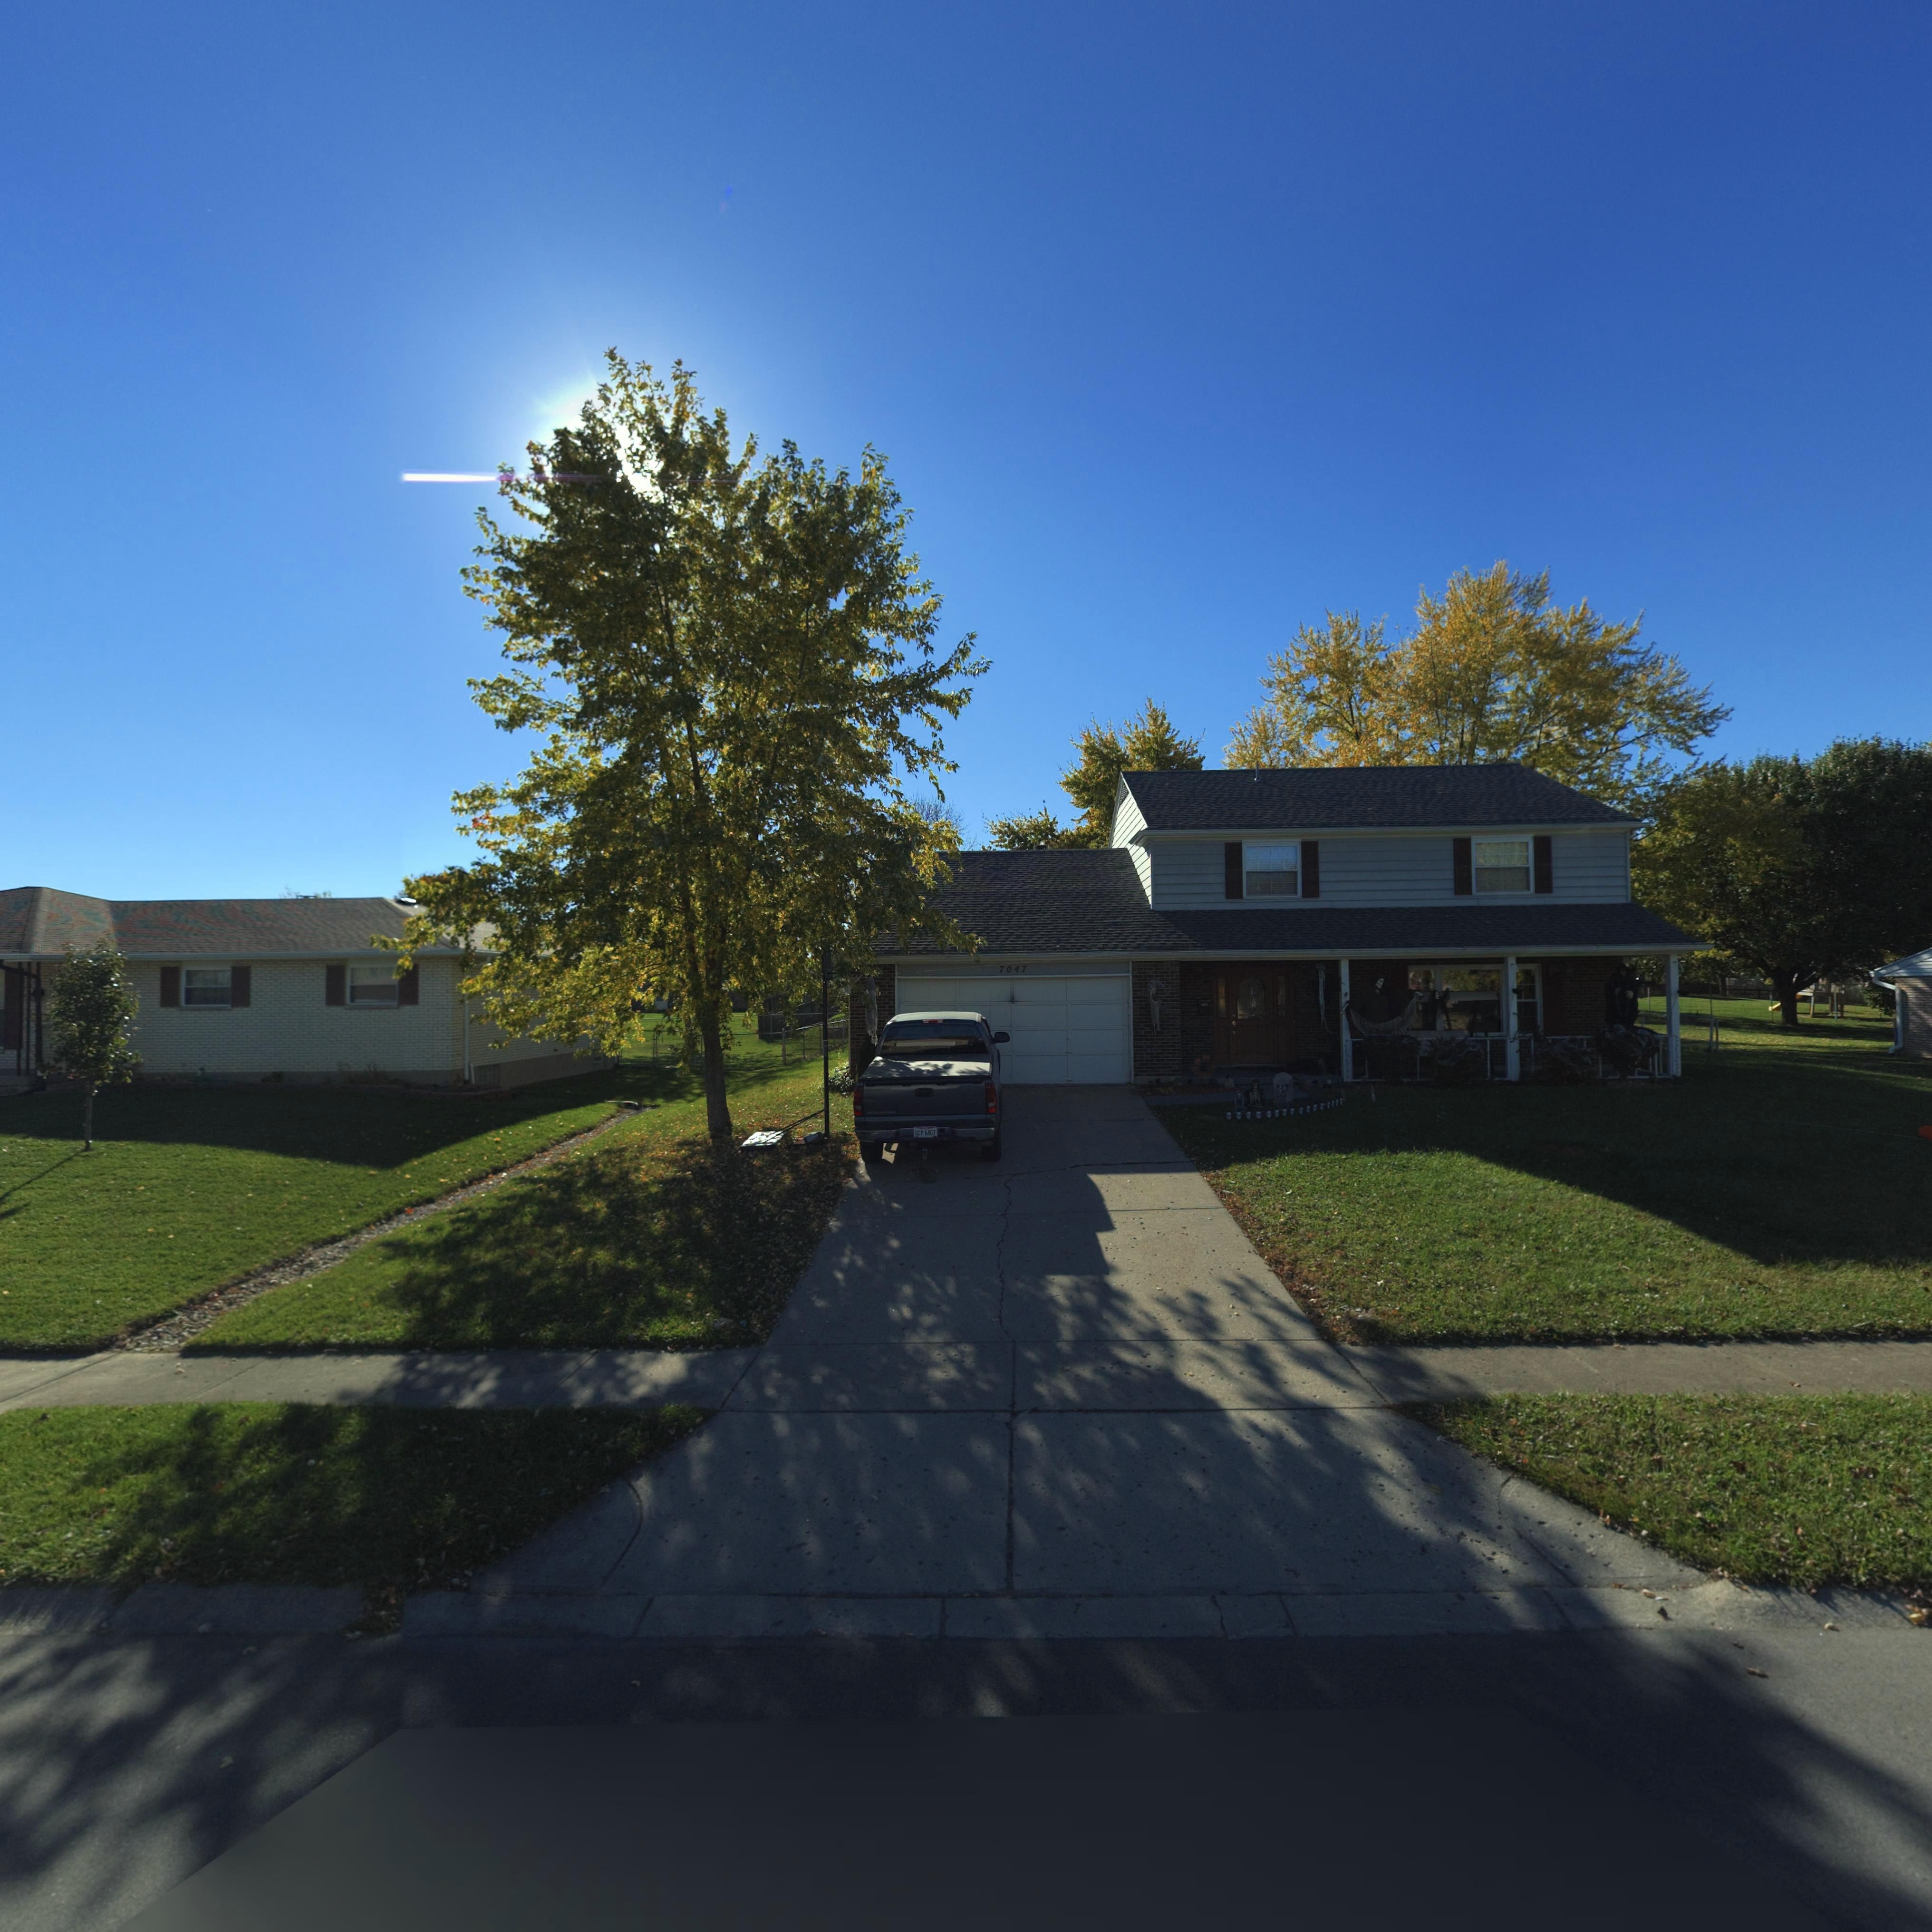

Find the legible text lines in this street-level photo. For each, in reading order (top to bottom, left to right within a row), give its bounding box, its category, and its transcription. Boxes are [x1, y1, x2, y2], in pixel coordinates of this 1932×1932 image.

[998, 965, 1027, 974] StreetNumber: 7047